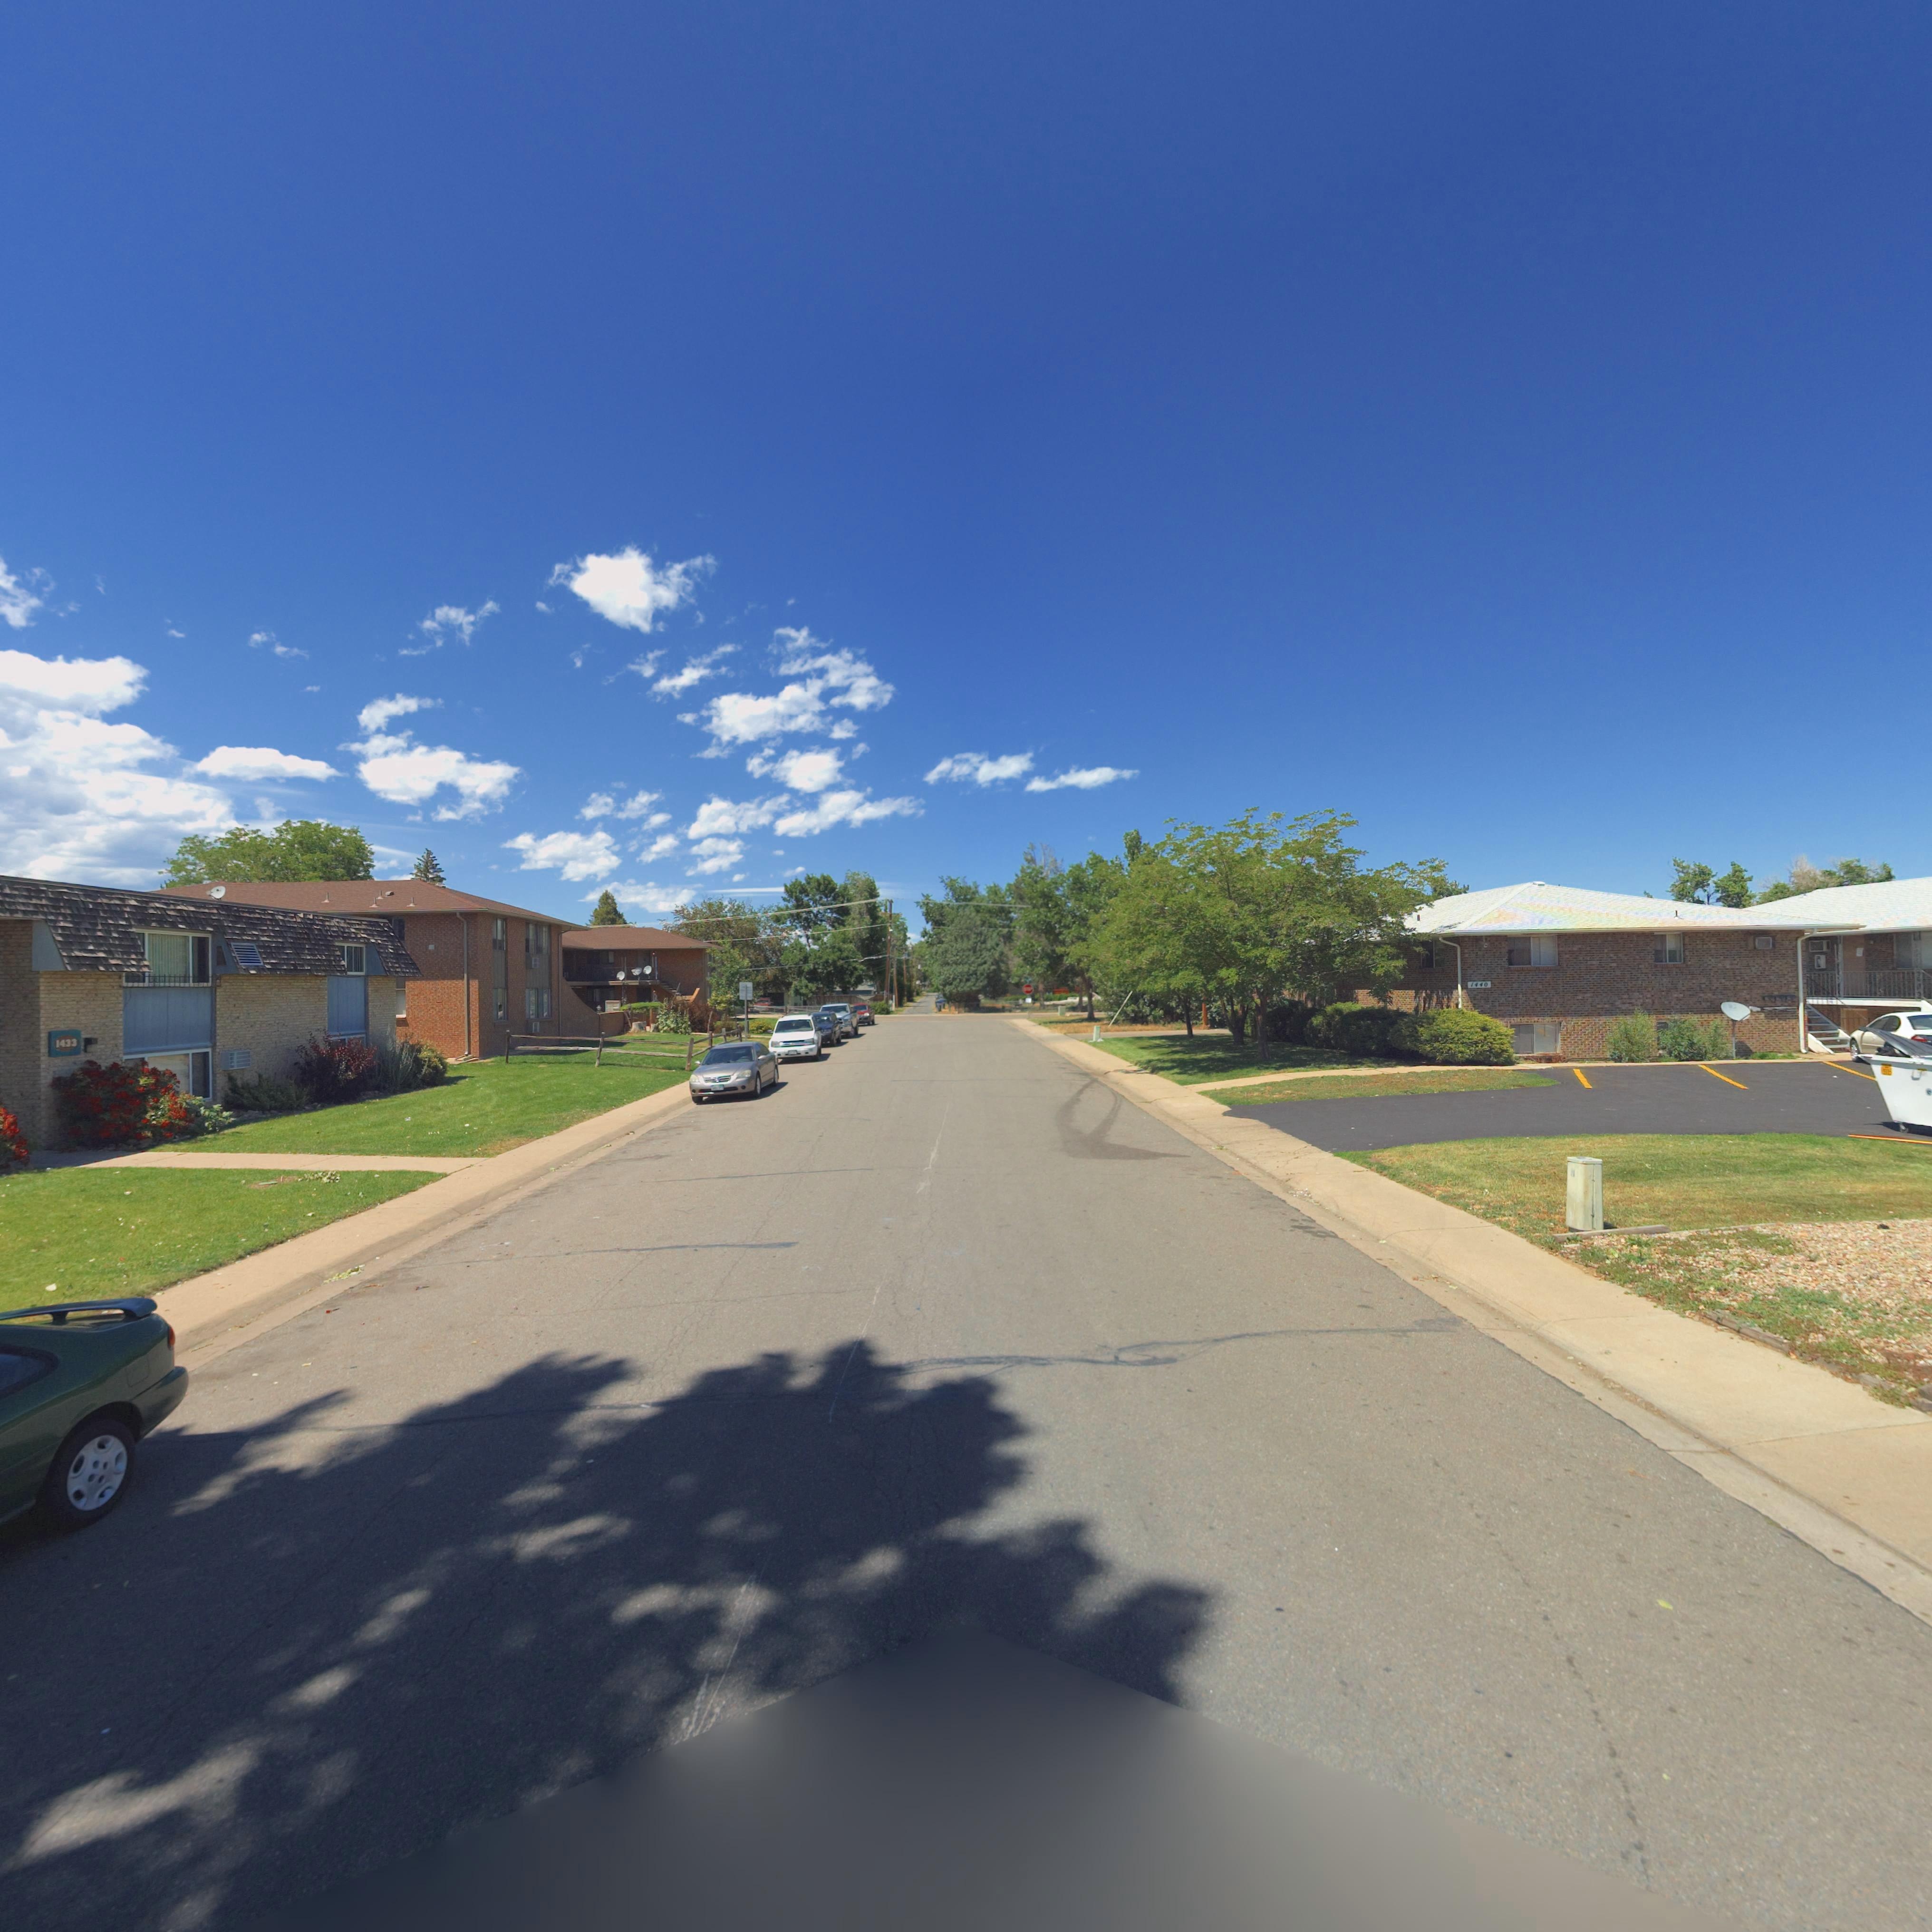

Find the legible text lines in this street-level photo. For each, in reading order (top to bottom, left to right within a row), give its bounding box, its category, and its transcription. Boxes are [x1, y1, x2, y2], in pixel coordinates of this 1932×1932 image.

[1470, 982, 1488, 987] StreetNumber: 1440
[56, 1038, 77, 1048] StreetNumber: 1433